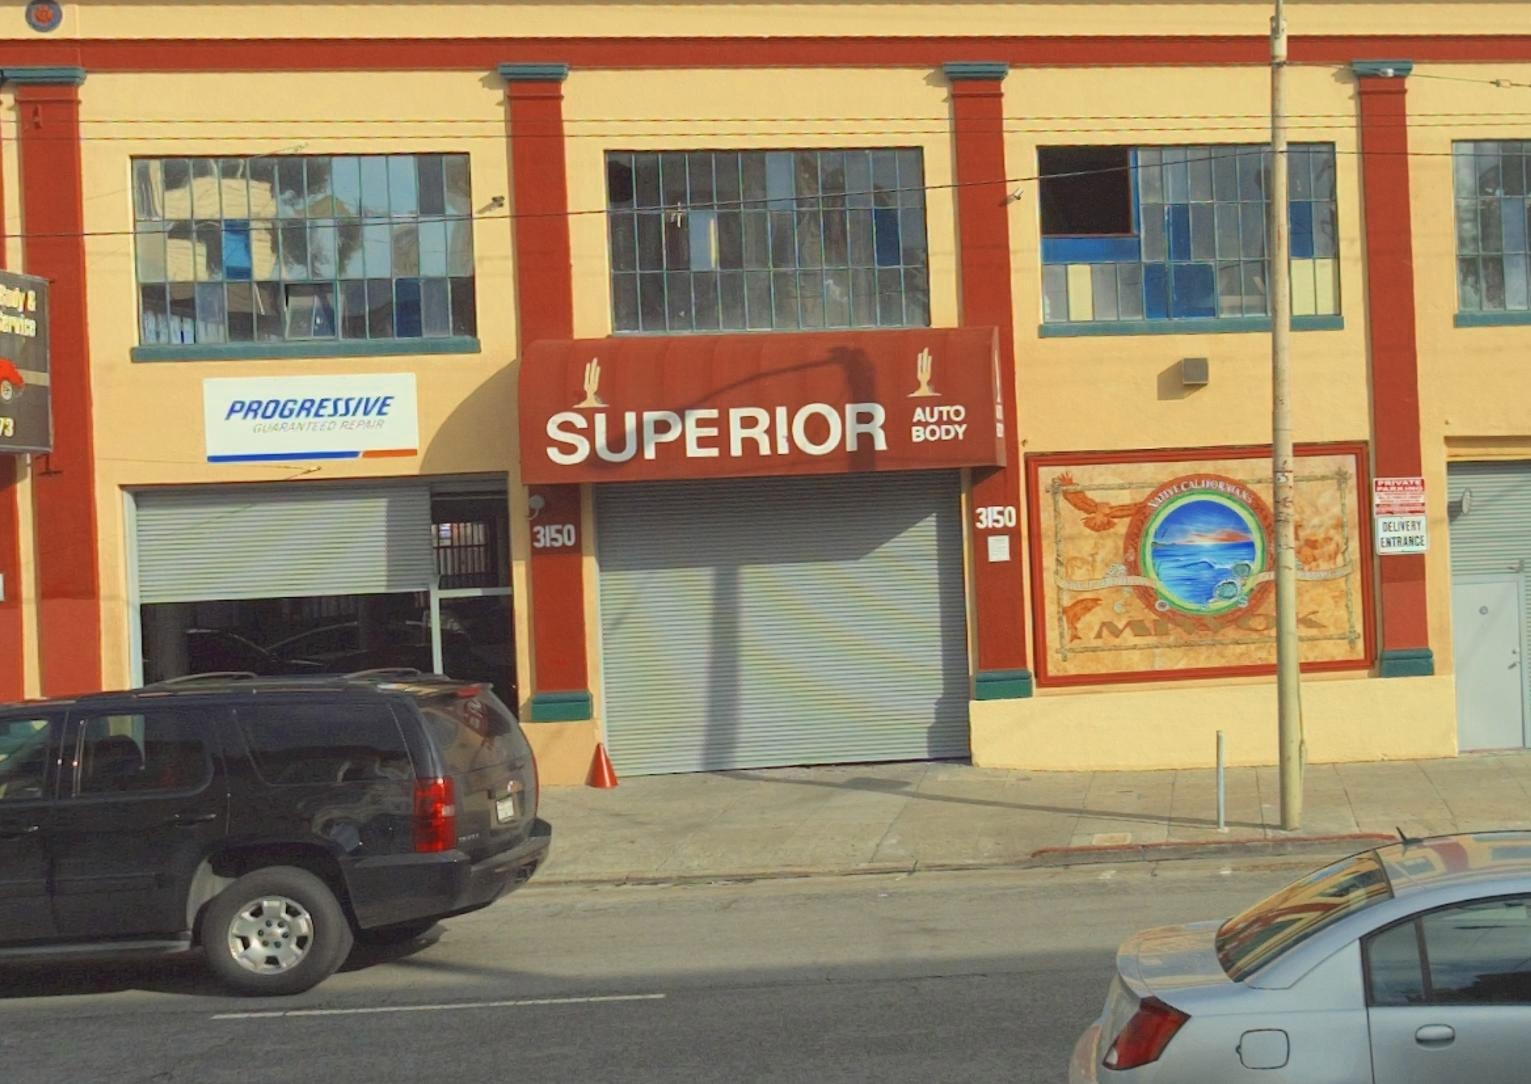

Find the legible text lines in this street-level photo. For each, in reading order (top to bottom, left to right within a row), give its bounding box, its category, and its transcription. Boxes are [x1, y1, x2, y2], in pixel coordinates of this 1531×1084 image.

[4, 285, 27, 314] None: ody
[2, 313, 37, 338] None: ervice
[221, 394, 398, 421] None: PROGRESSIVE
[252, 418, 387, 433] None: GUARANTEED REPAIR
[544, 401, 890, 467] BusinessName: SUPERIOR
[911, 404, 966, 424] BusinessName: AUTO
[910, 422, 969, 443] BusinessName: BODY
[1377, 478, 1422, 485] None: PRIVATE
[1376, 485, 1423, 492] None: PARKING
[532, 523, 577, 548] StreetNumber: 3150
[975, 505, 1018, 530] StreetNumber: 3150
[1381, 519, 1423, 533] None: DELIVERY
[1379, 533, 1425, 548] None: ENTRANCE
[1090, 611, 1277, 642] None: MIWO